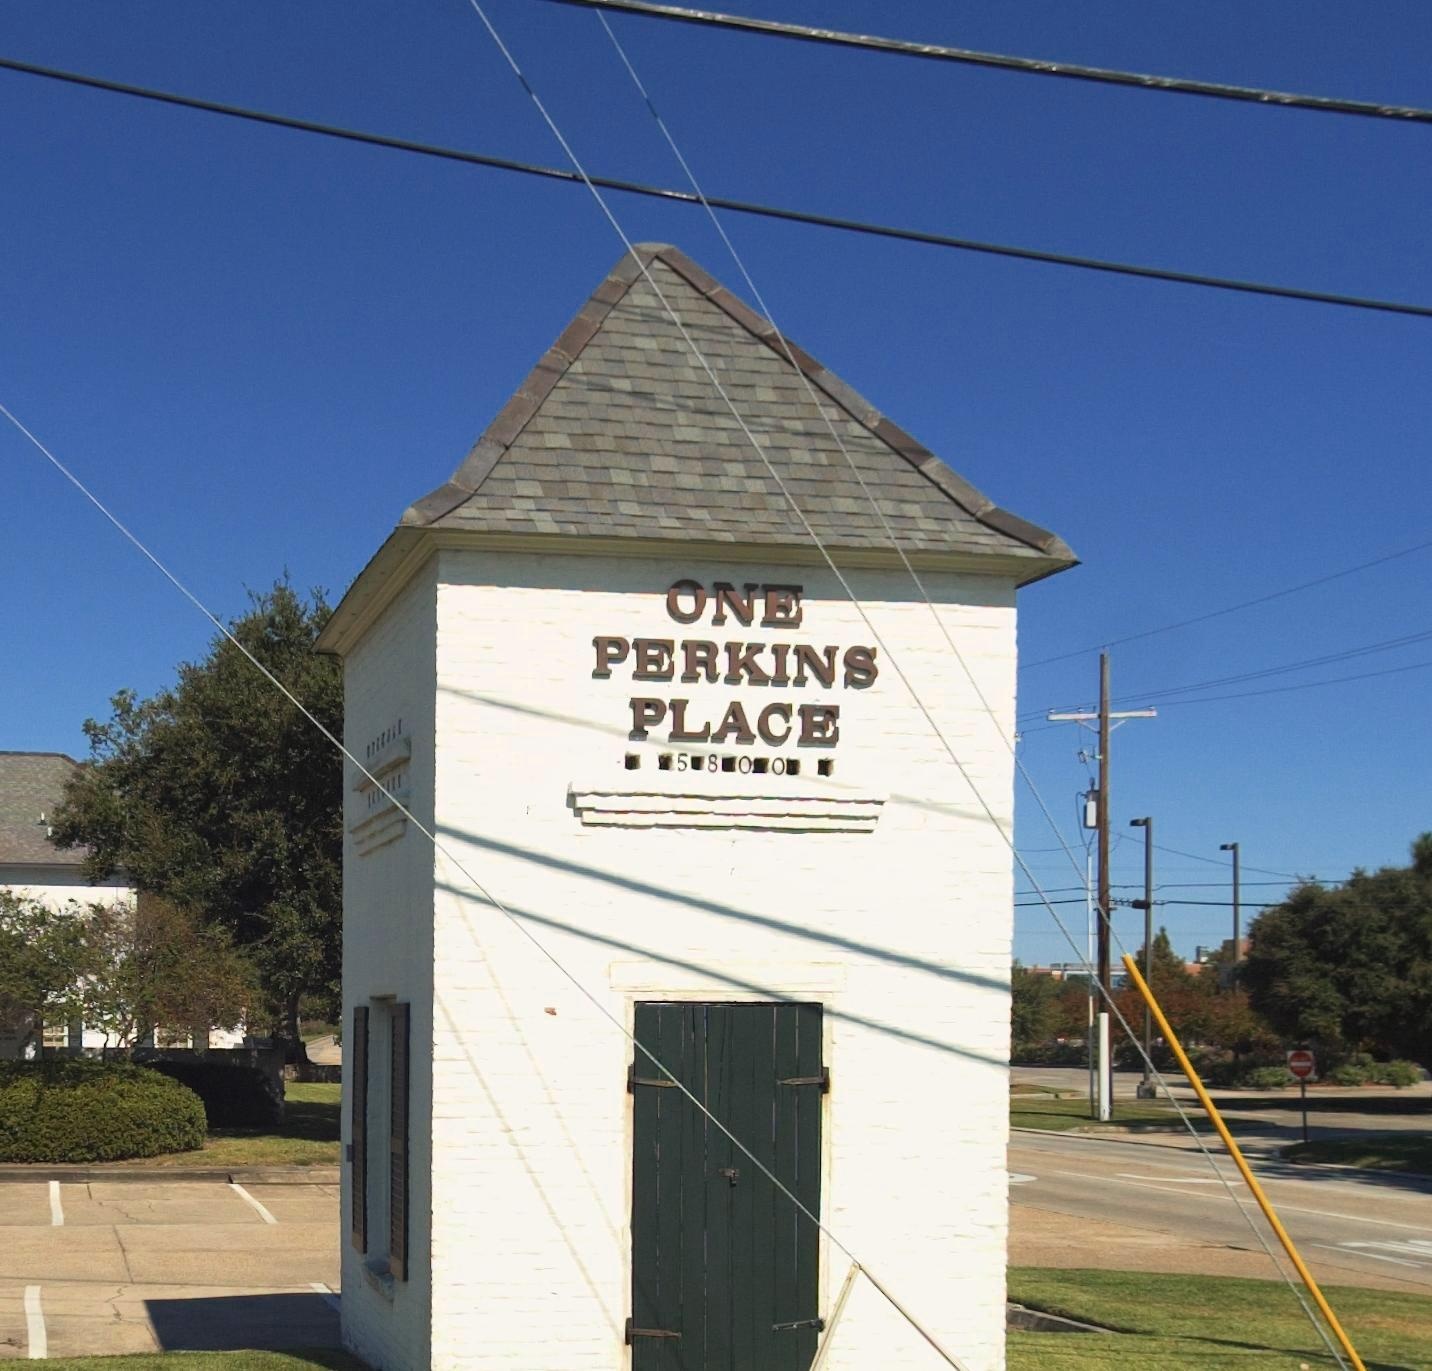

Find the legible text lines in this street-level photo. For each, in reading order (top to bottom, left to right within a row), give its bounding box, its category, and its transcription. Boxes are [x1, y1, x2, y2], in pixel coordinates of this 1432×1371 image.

[664, 578, 806, 628] BusinessName: ONE
[590, 633, 881, 691] BusinessName: PERKINS
[626, 695, 842, 747] BusinessName: PLACE
[675, 750, 787, 777] StreetNumber: 5*8*0*0